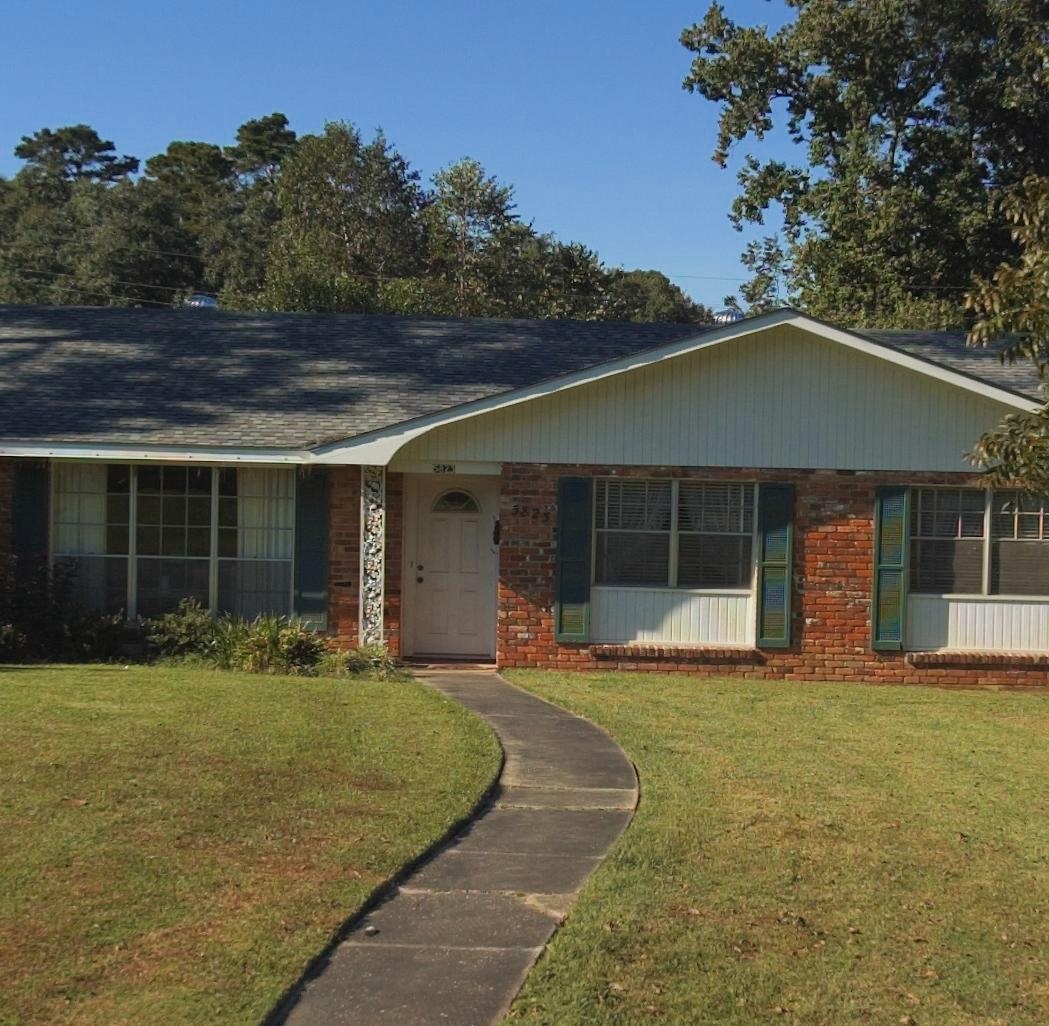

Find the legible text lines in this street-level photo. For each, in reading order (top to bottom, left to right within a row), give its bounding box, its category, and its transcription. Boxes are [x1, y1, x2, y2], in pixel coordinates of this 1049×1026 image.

[431, 463, 457, 475] StreetNumber: 5823
[509, 503, 553, 526] StreetNumber: 5823